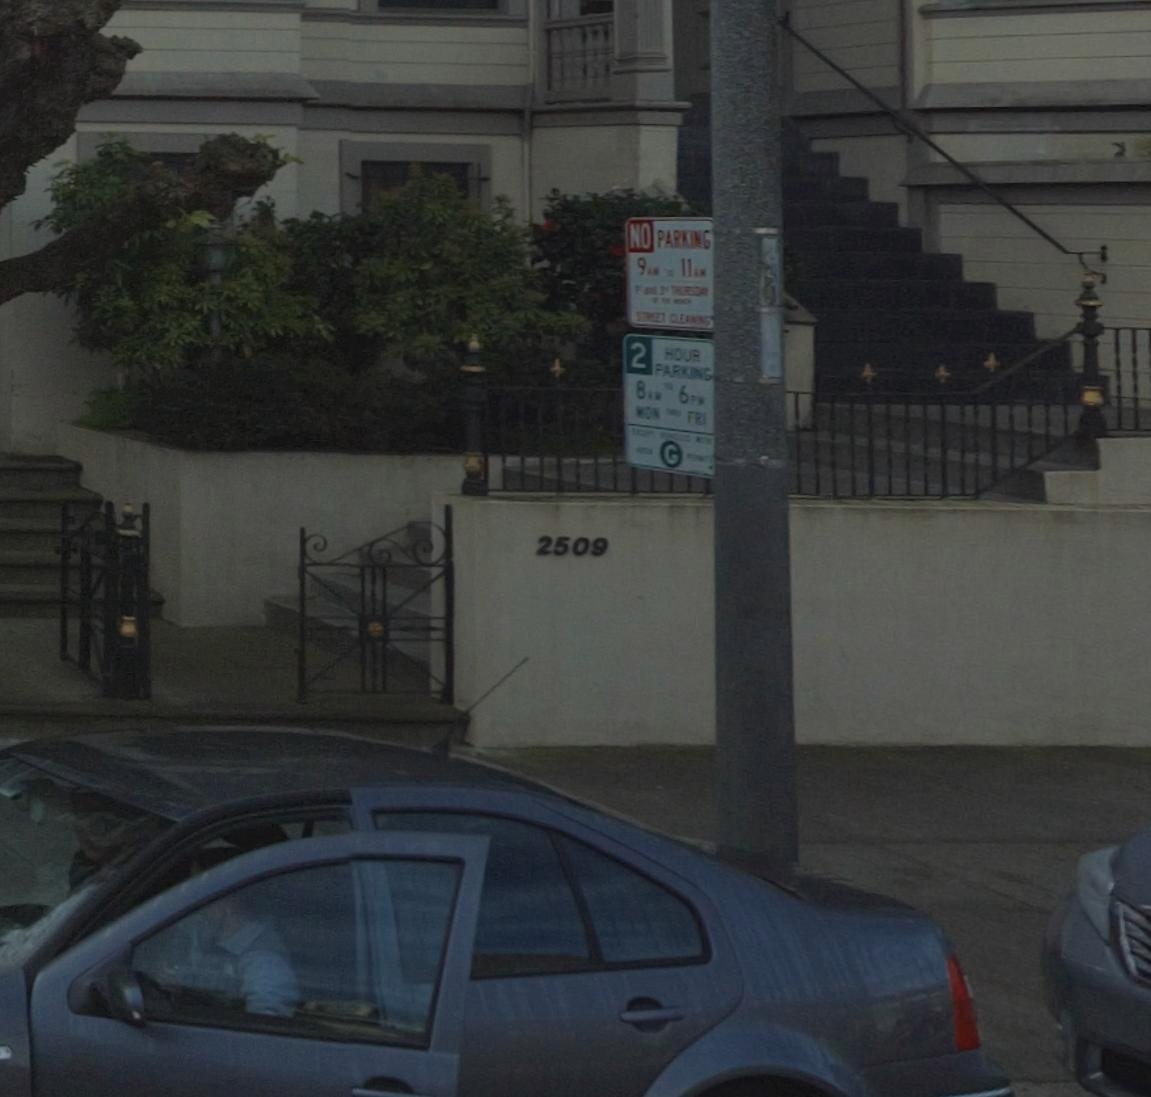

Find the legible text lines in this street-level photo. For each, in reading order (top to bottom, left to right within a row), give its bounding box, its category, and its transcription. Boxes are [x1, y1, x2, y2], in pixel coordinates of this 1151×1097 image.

[627, 220, 714, 252] None: NO PARKING
[634, 253, 711, 279] None: 9AM TO 11AM
[633, 308, 714, 329] None: STREET CLEANING
[626, 339, 650, 372] None: 2
[662, 343, 704, 366] None: HOUR
[652, 359, 716, 384] None: PARKING
[634, 376, 708, 409] None: 8AM ** 6PM
[633, 401, 711, 429] None: MON **** FRI
[659, 441, 682, 468] None: G
[532, 532, 612, 559] StreetNumber: 2509